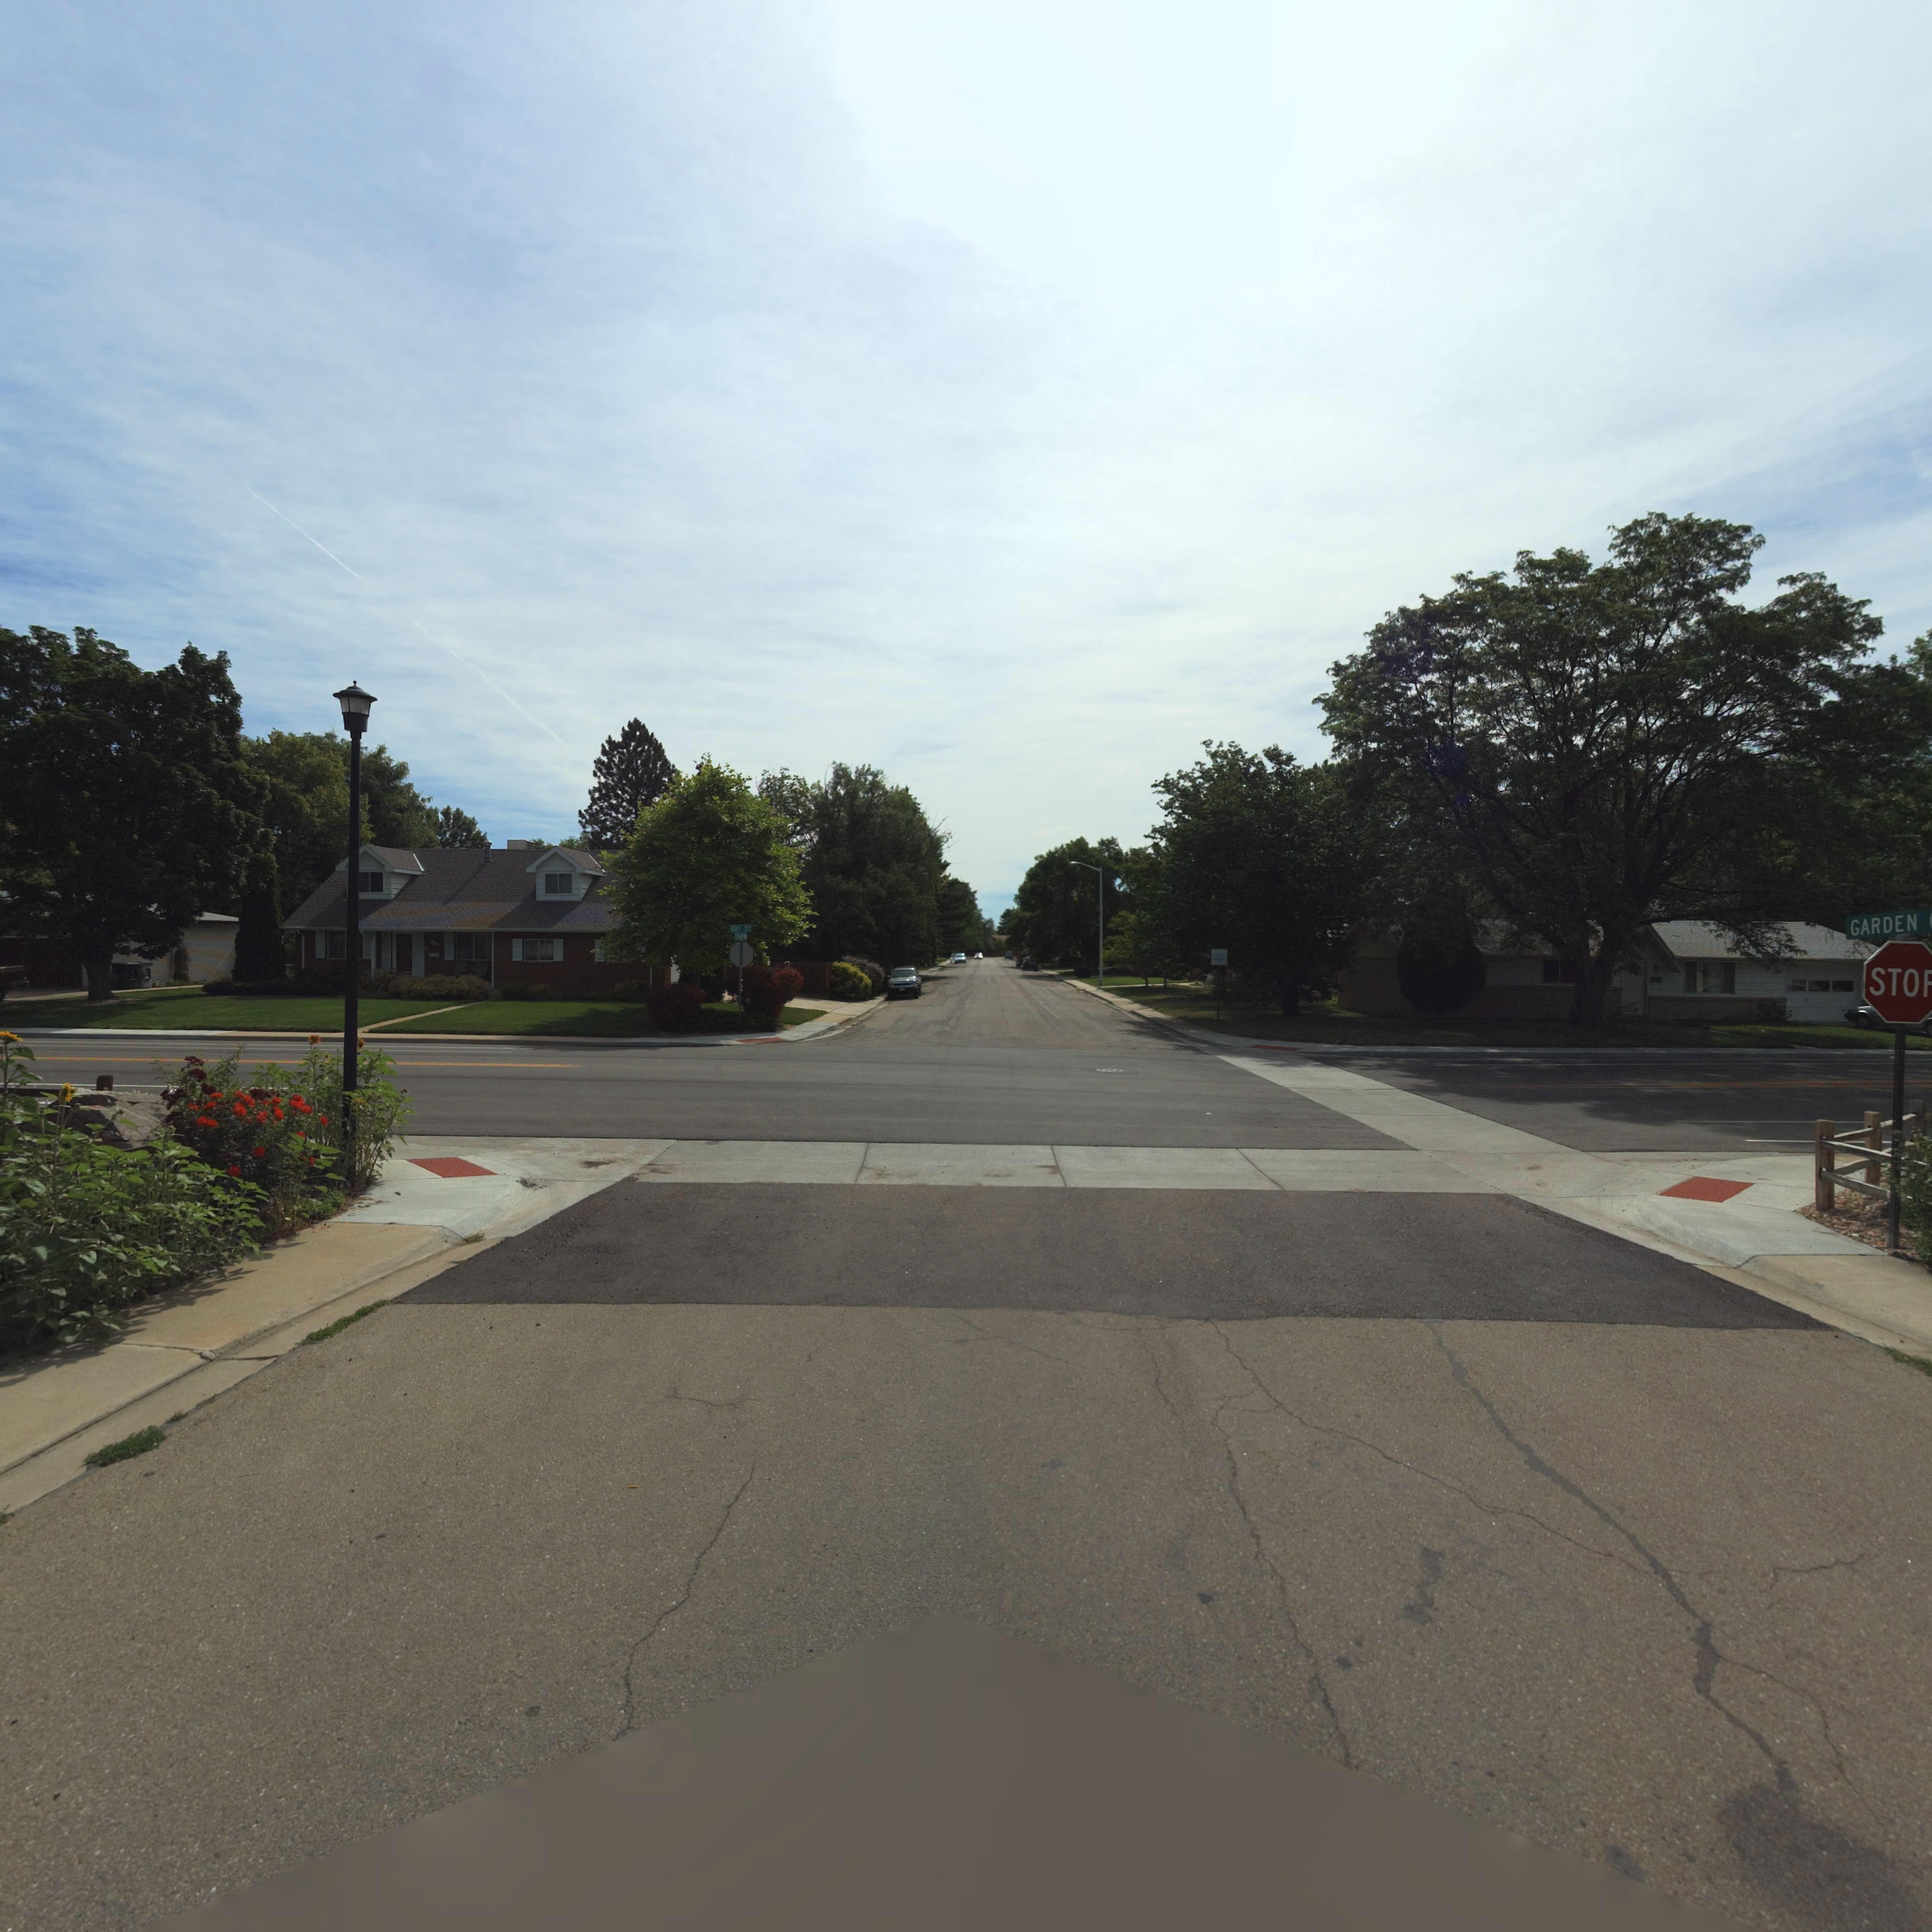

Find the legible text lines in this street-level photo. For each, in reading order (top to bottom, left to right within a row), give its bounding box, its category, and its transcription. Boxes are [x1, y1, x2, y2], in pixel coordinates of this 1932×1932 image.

[1850, 913, 1917, 937] StreetName: GARDEN
[730, 926, 751, 931] StreetName: GAY ST
[734, 933, 747, 939] StreetName: ****ER **